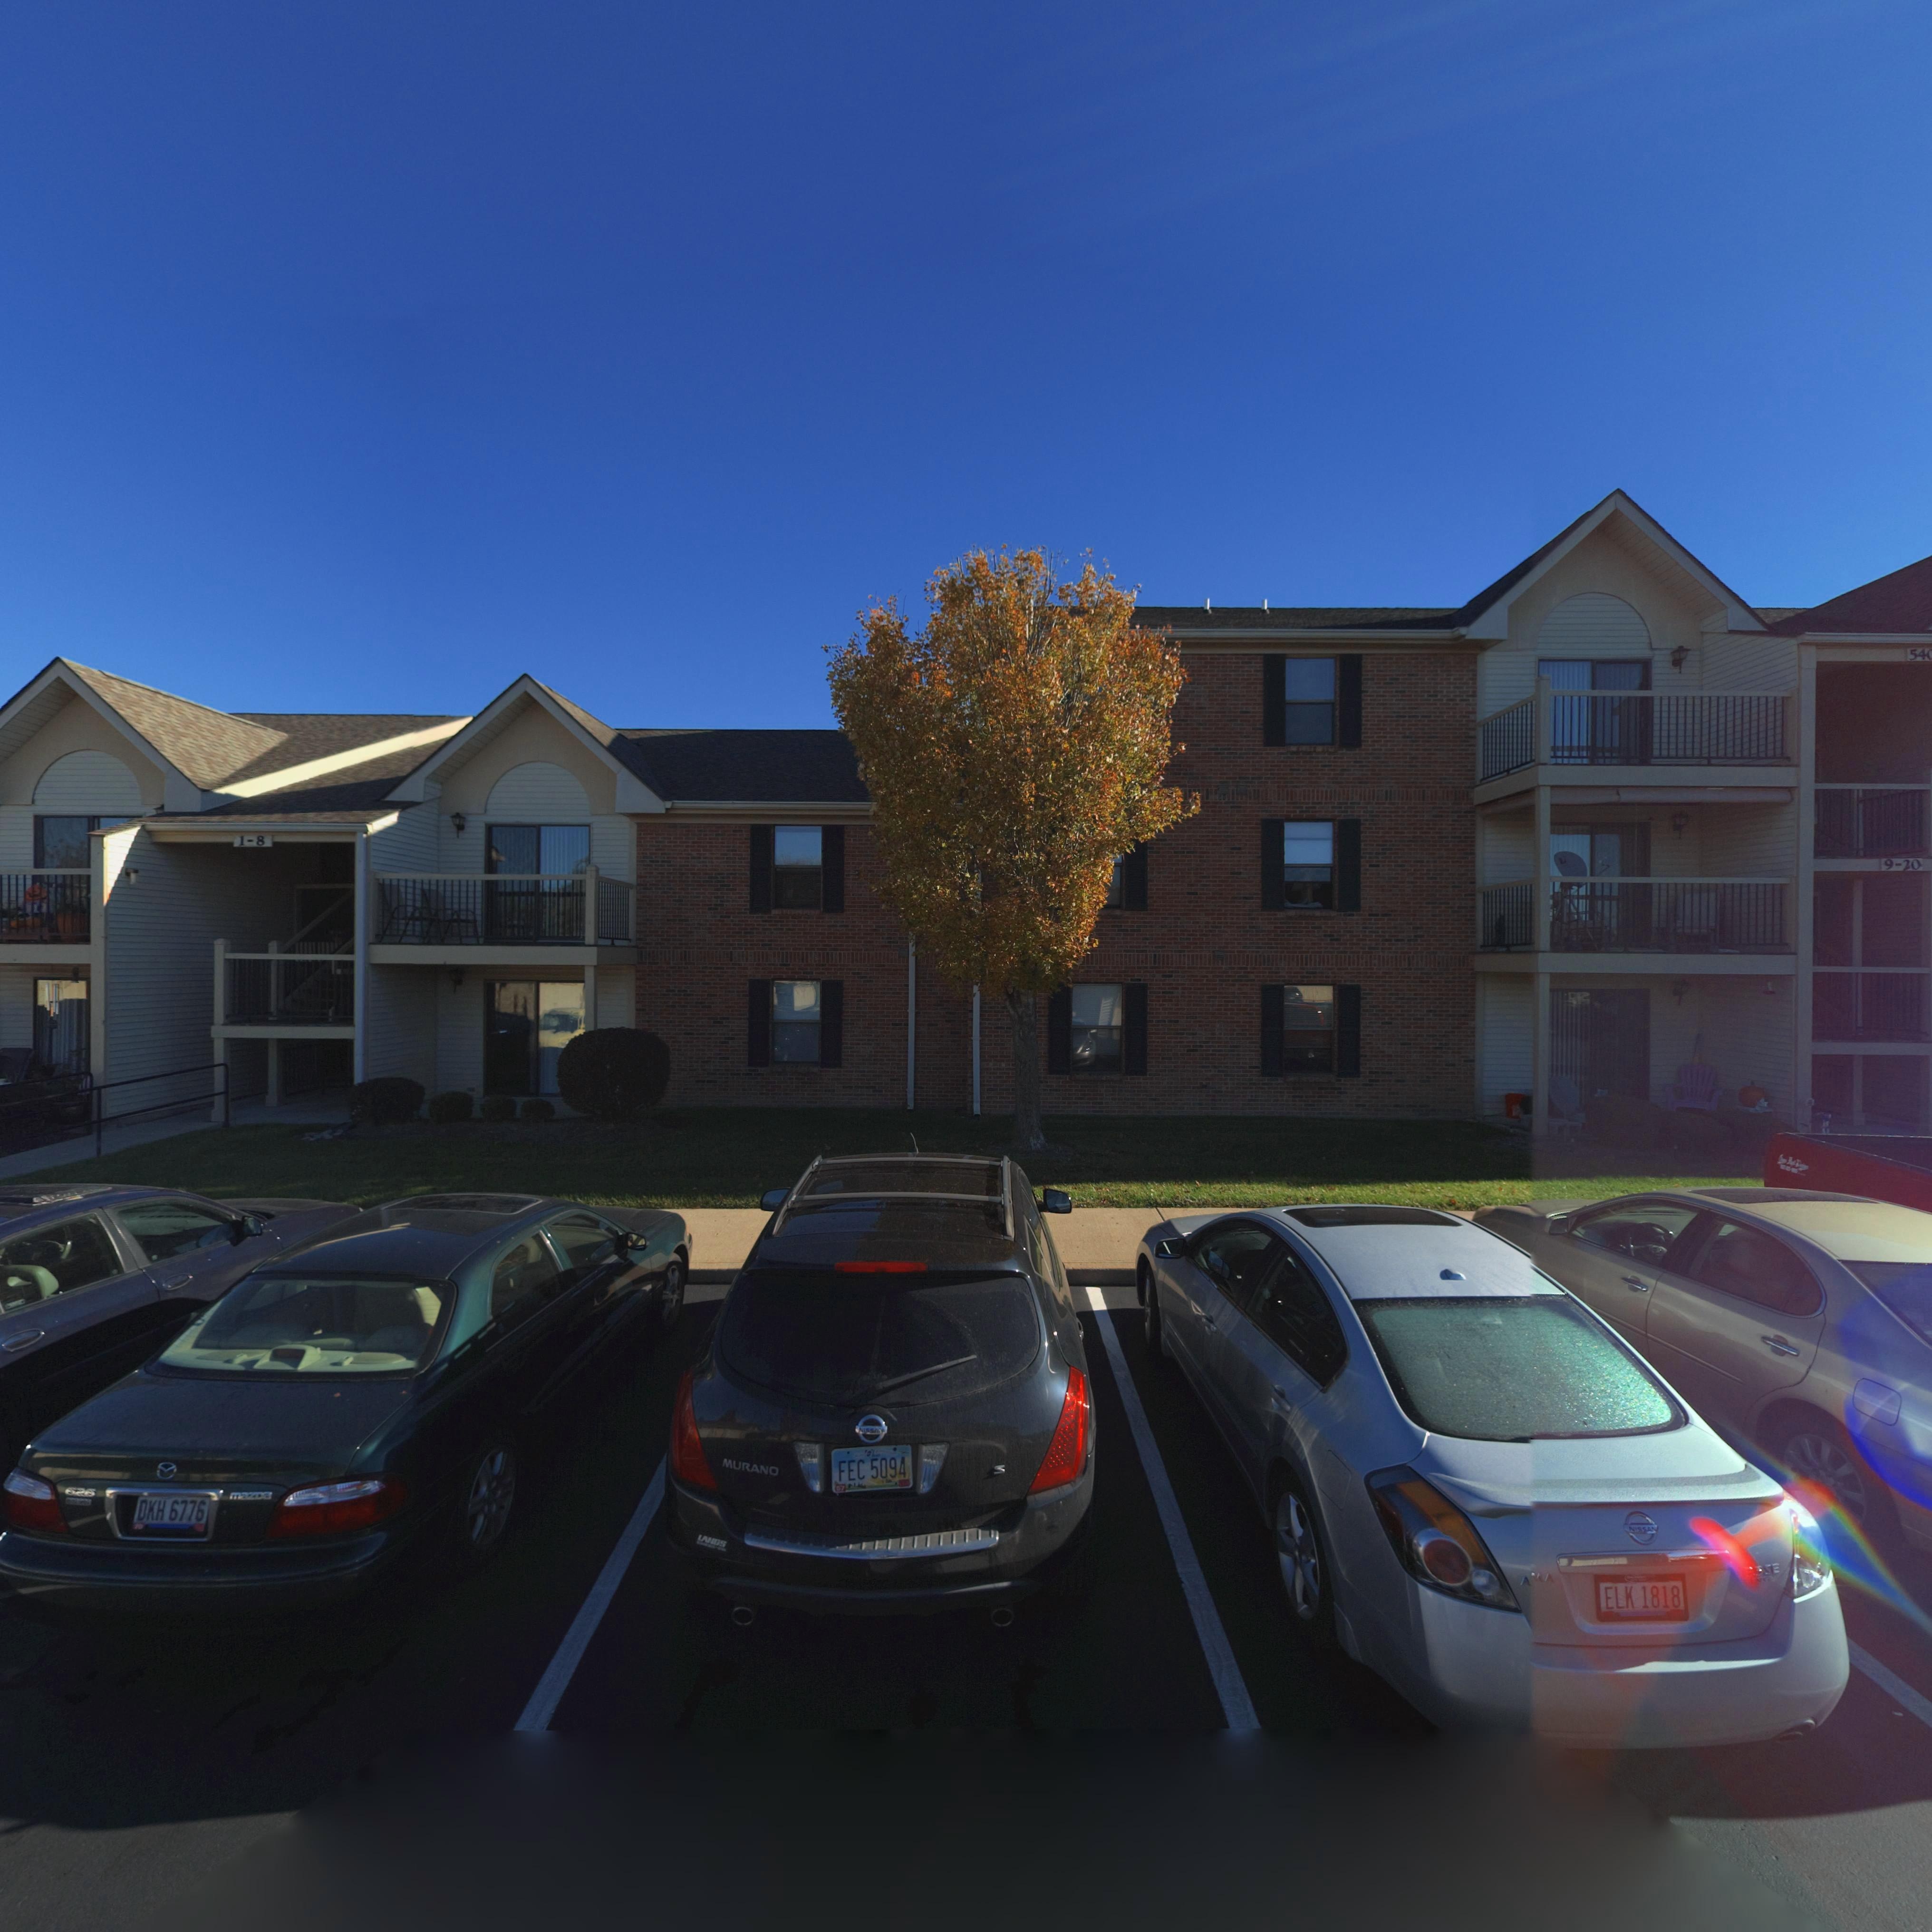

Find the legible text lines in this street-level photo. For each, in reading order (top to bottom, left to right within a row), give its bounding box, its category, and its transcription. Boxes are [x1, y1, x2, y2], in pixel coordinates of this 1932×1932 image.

[1909, 647, 1928, 661] StreetNumber: 54
[238, 834, 267, 847] StreetNumber: 1-8
[1883, 858, 1923, 872] StreetNumber: 9-20